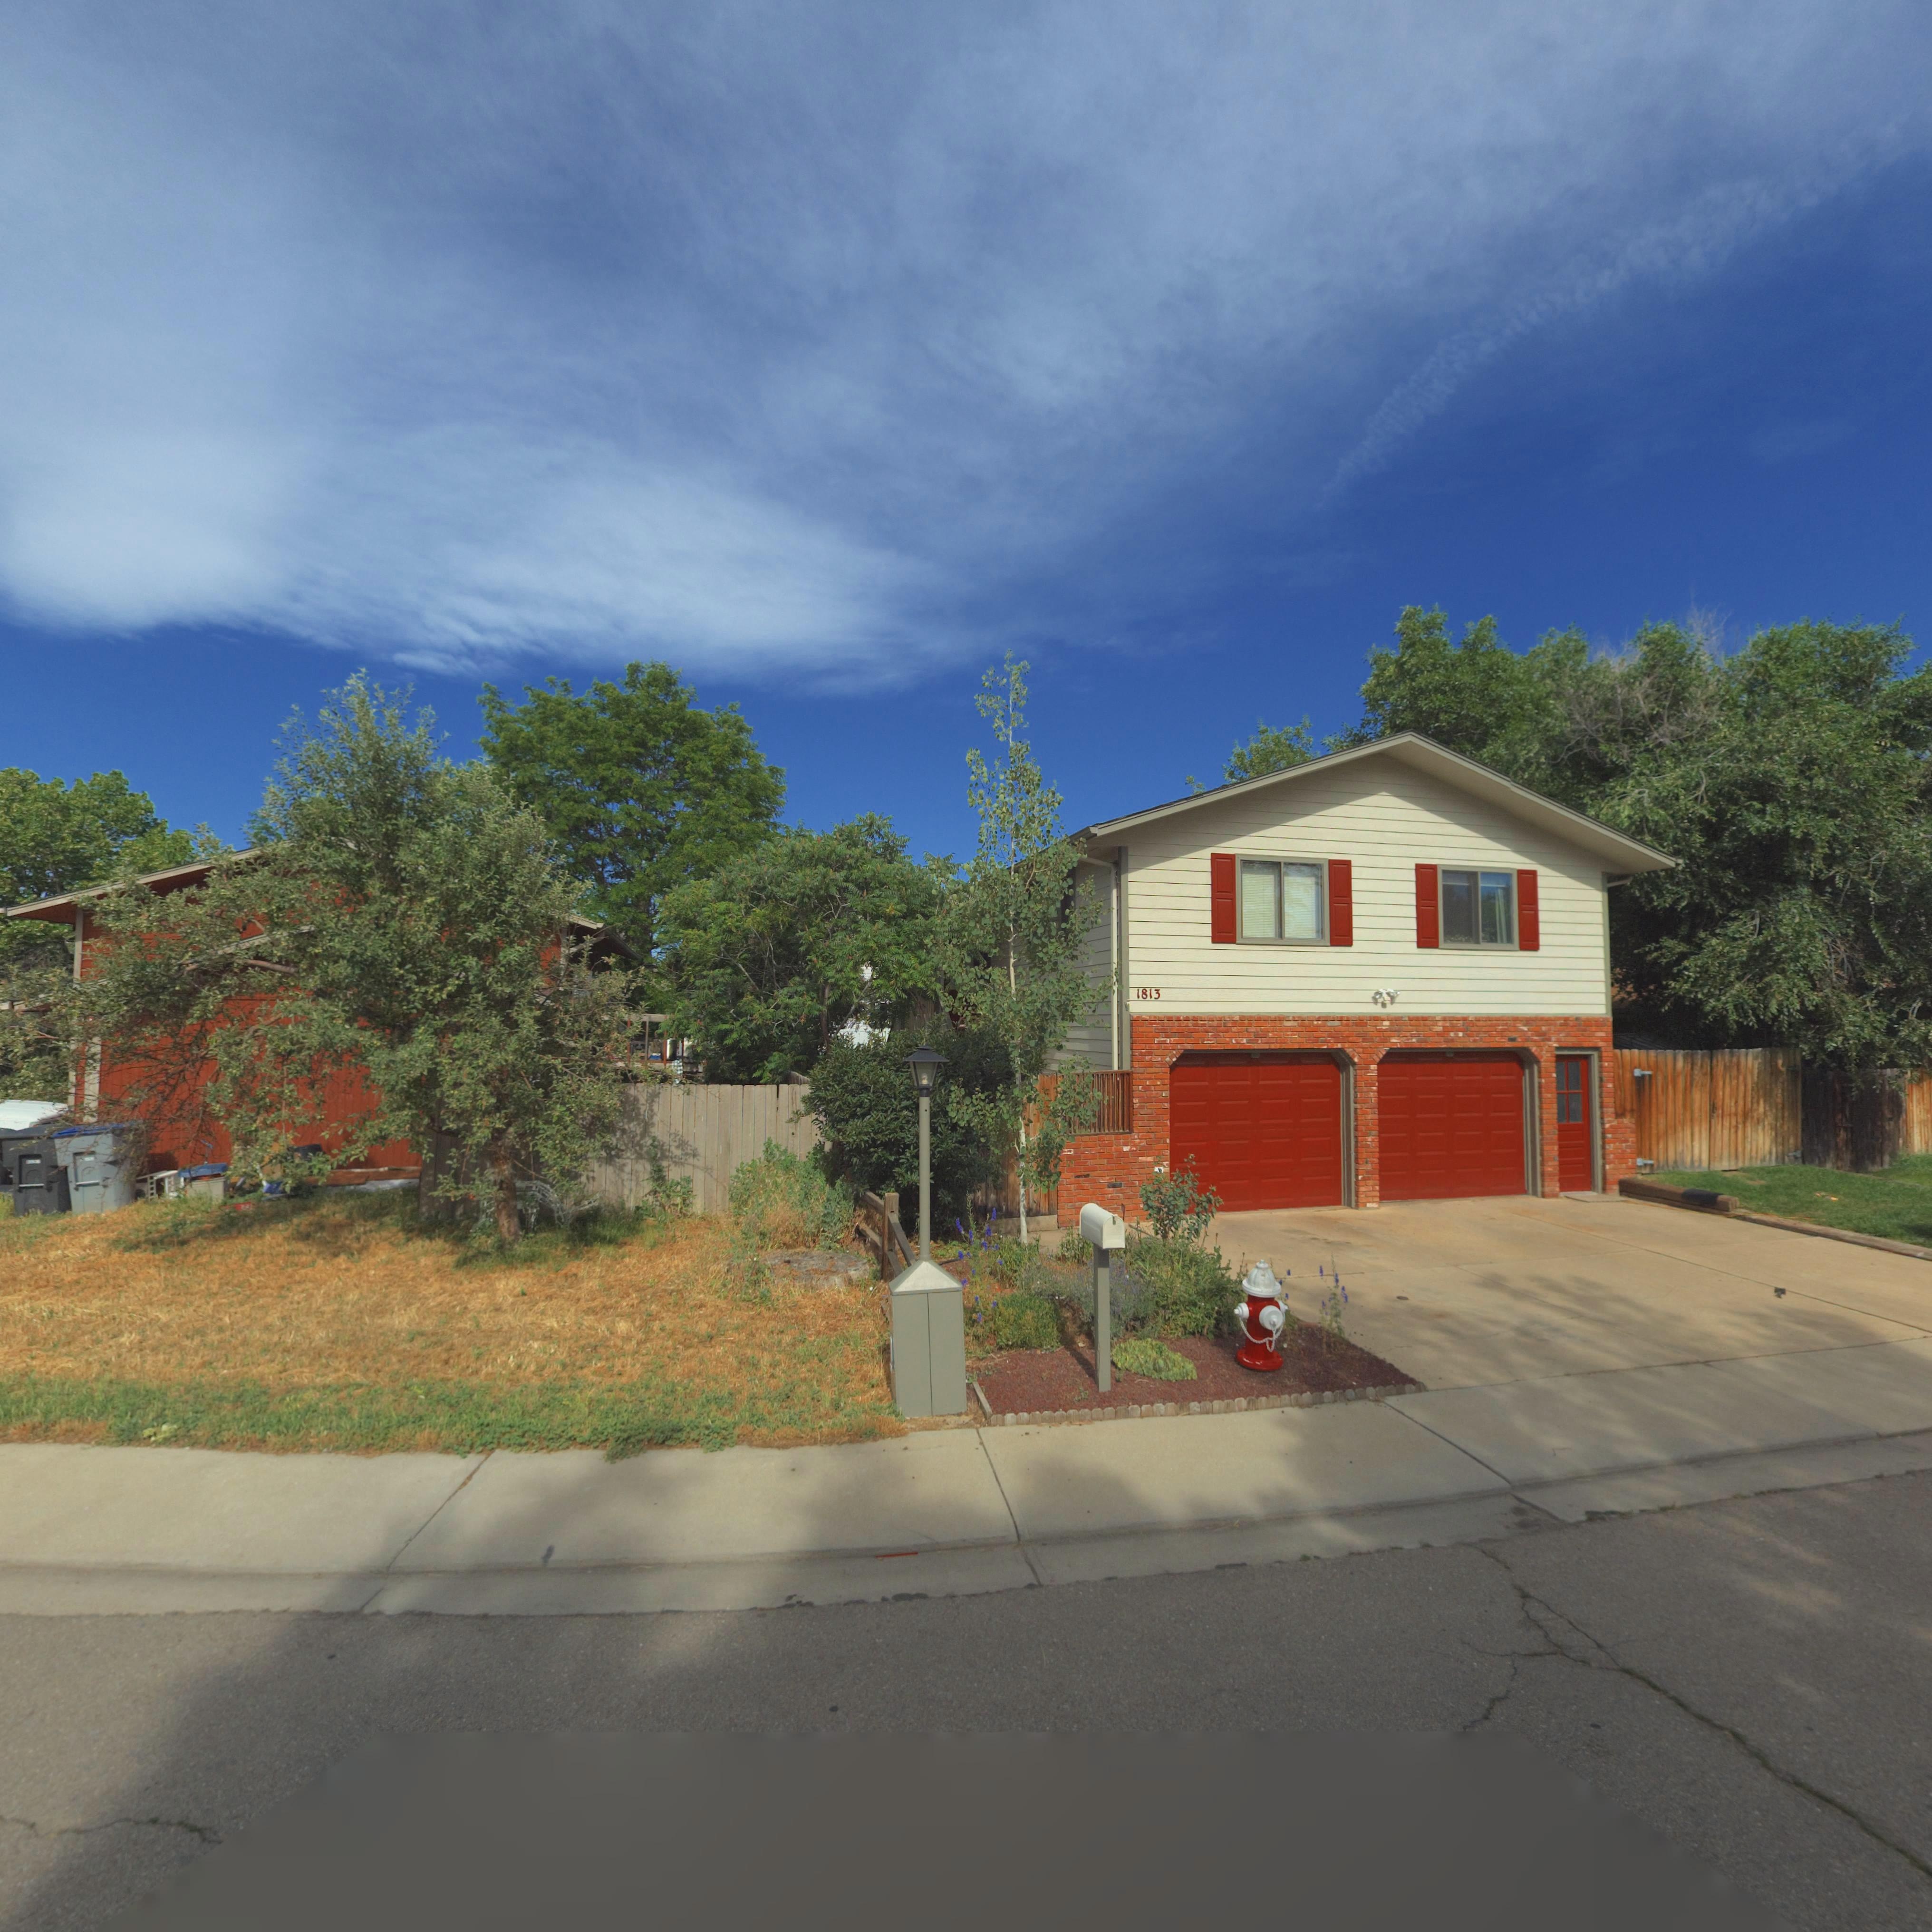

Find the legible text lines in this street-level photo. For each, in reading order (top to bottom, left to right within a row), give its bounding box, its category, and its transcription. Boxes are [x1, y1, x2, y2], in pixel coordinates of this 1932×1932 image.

[1136, 988, 1160, 1000] StreetNumber: 1813